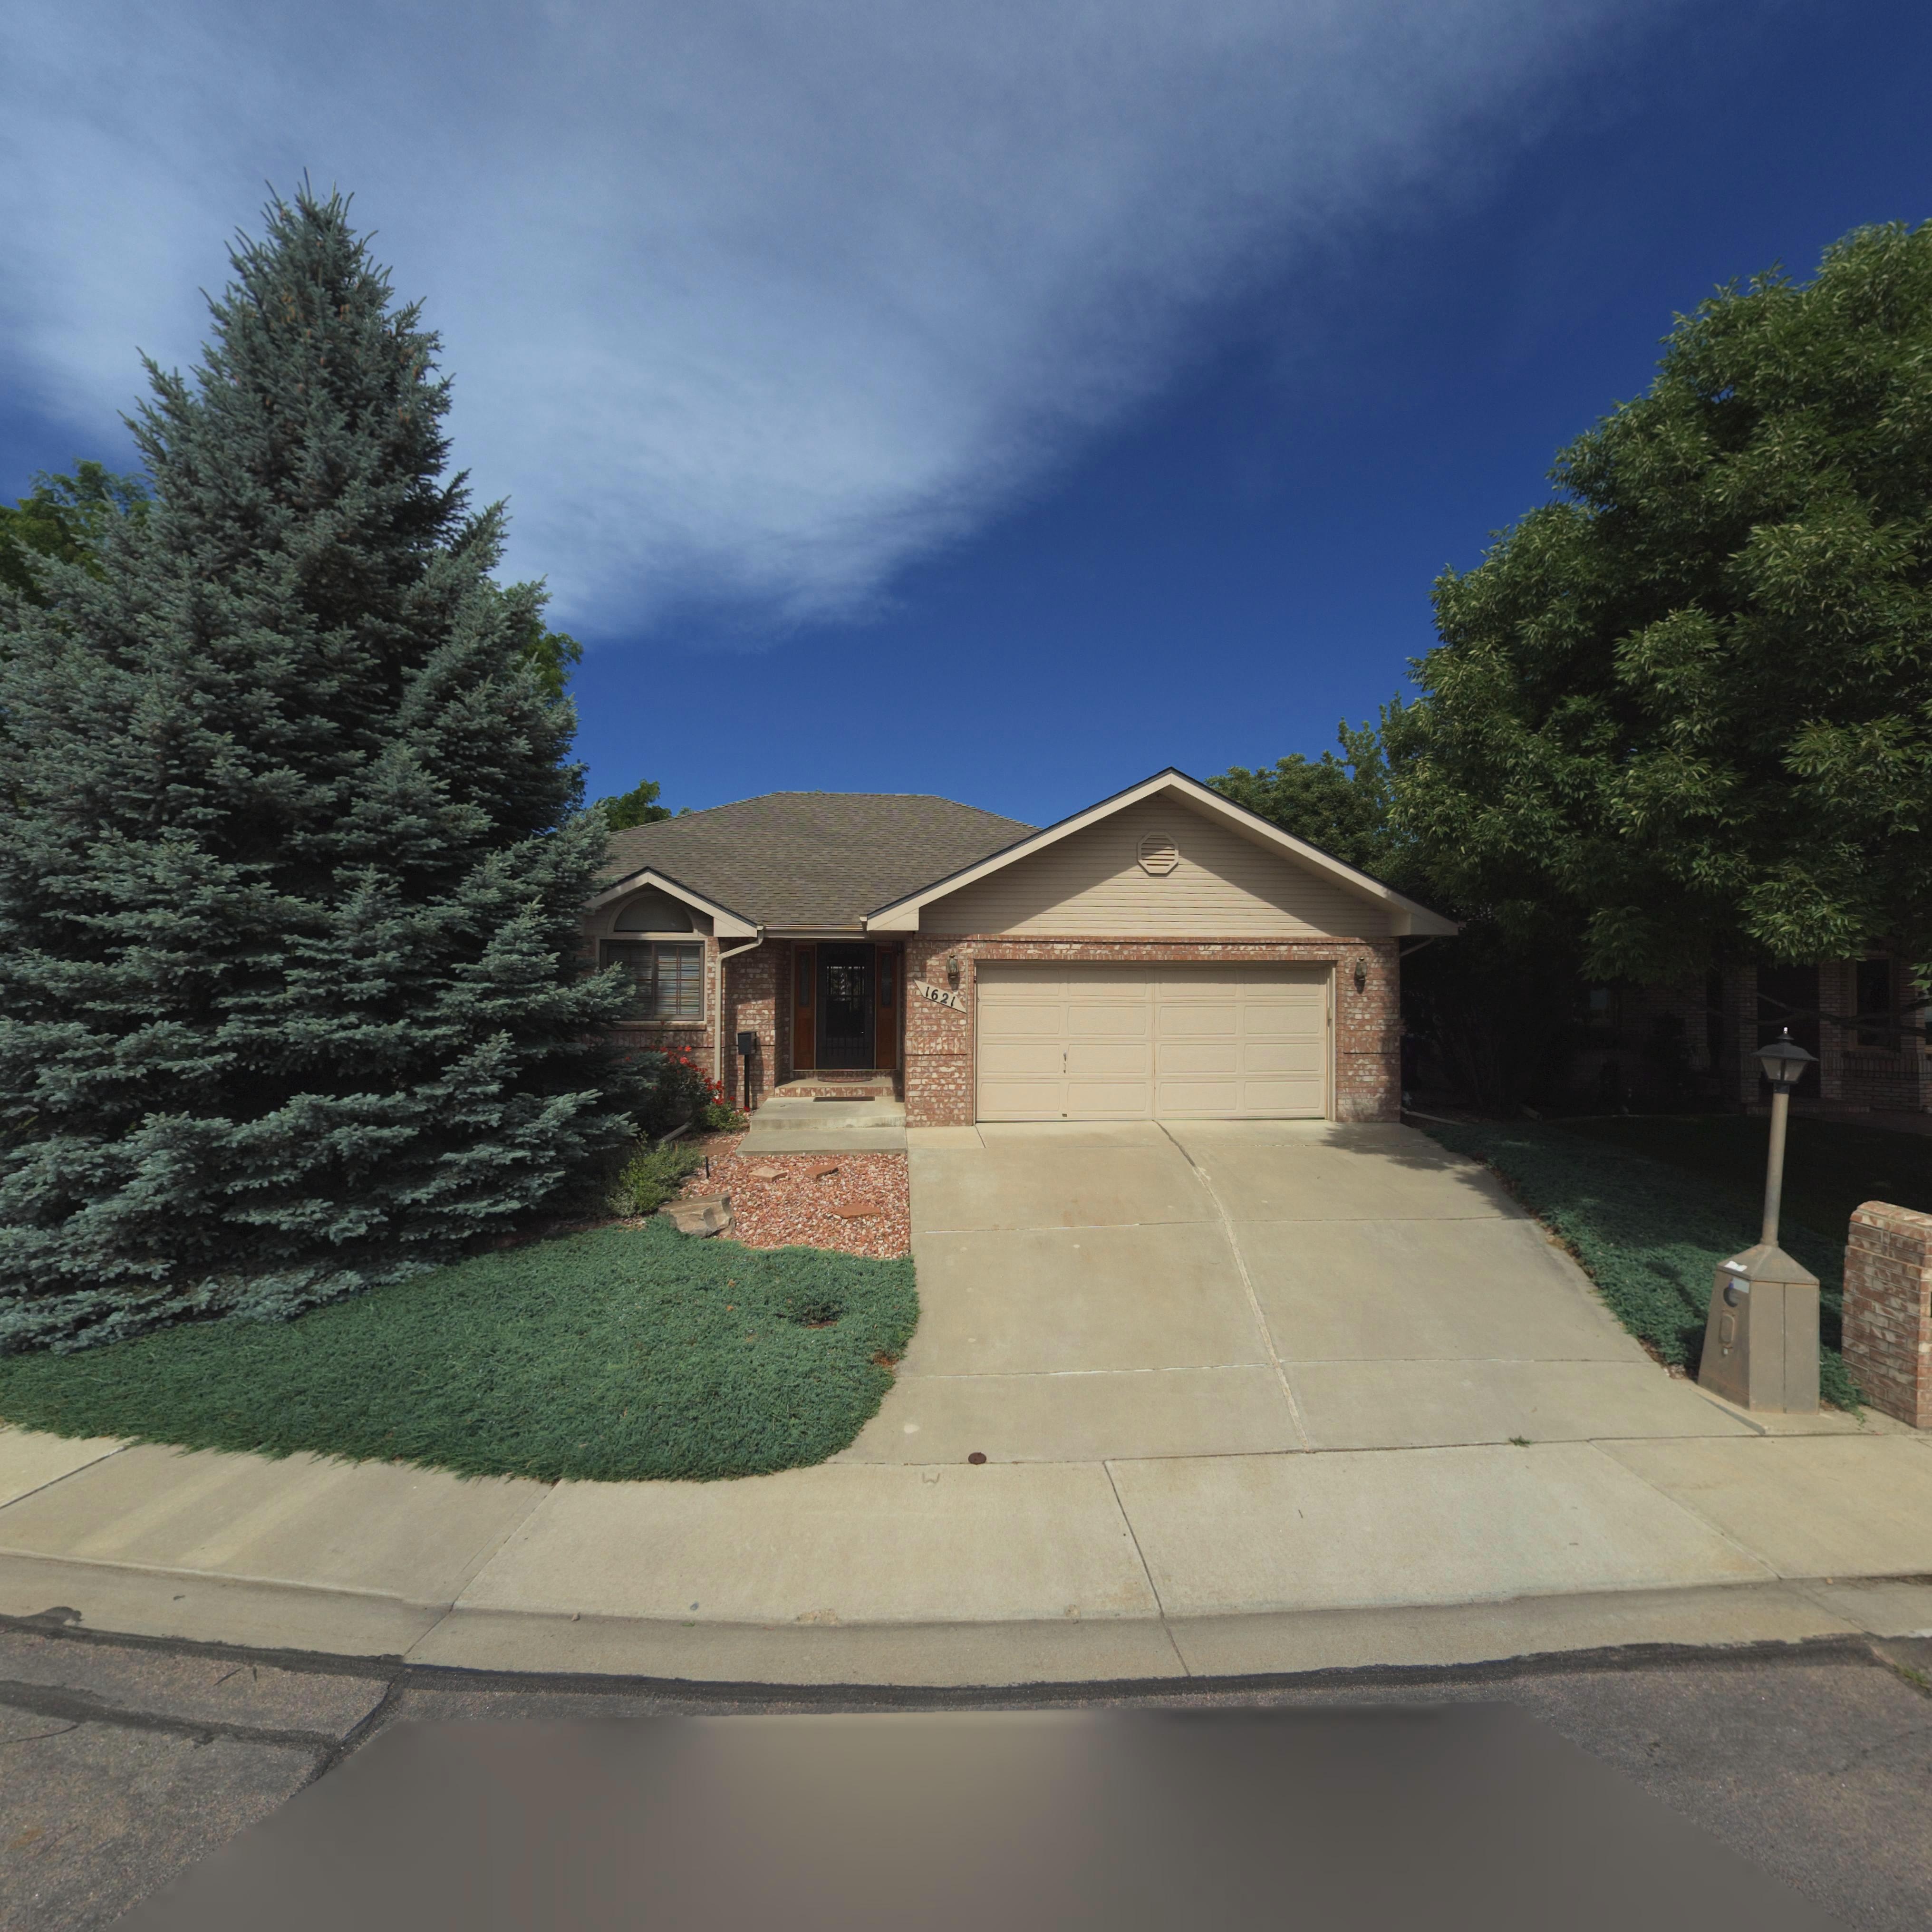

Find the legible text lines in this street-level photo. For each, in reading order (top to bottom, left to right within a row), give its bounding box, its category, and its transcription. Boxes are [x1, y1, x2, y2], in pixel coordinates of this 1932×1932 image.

[925, 985, 956, 1007] StreetNumber: 1621